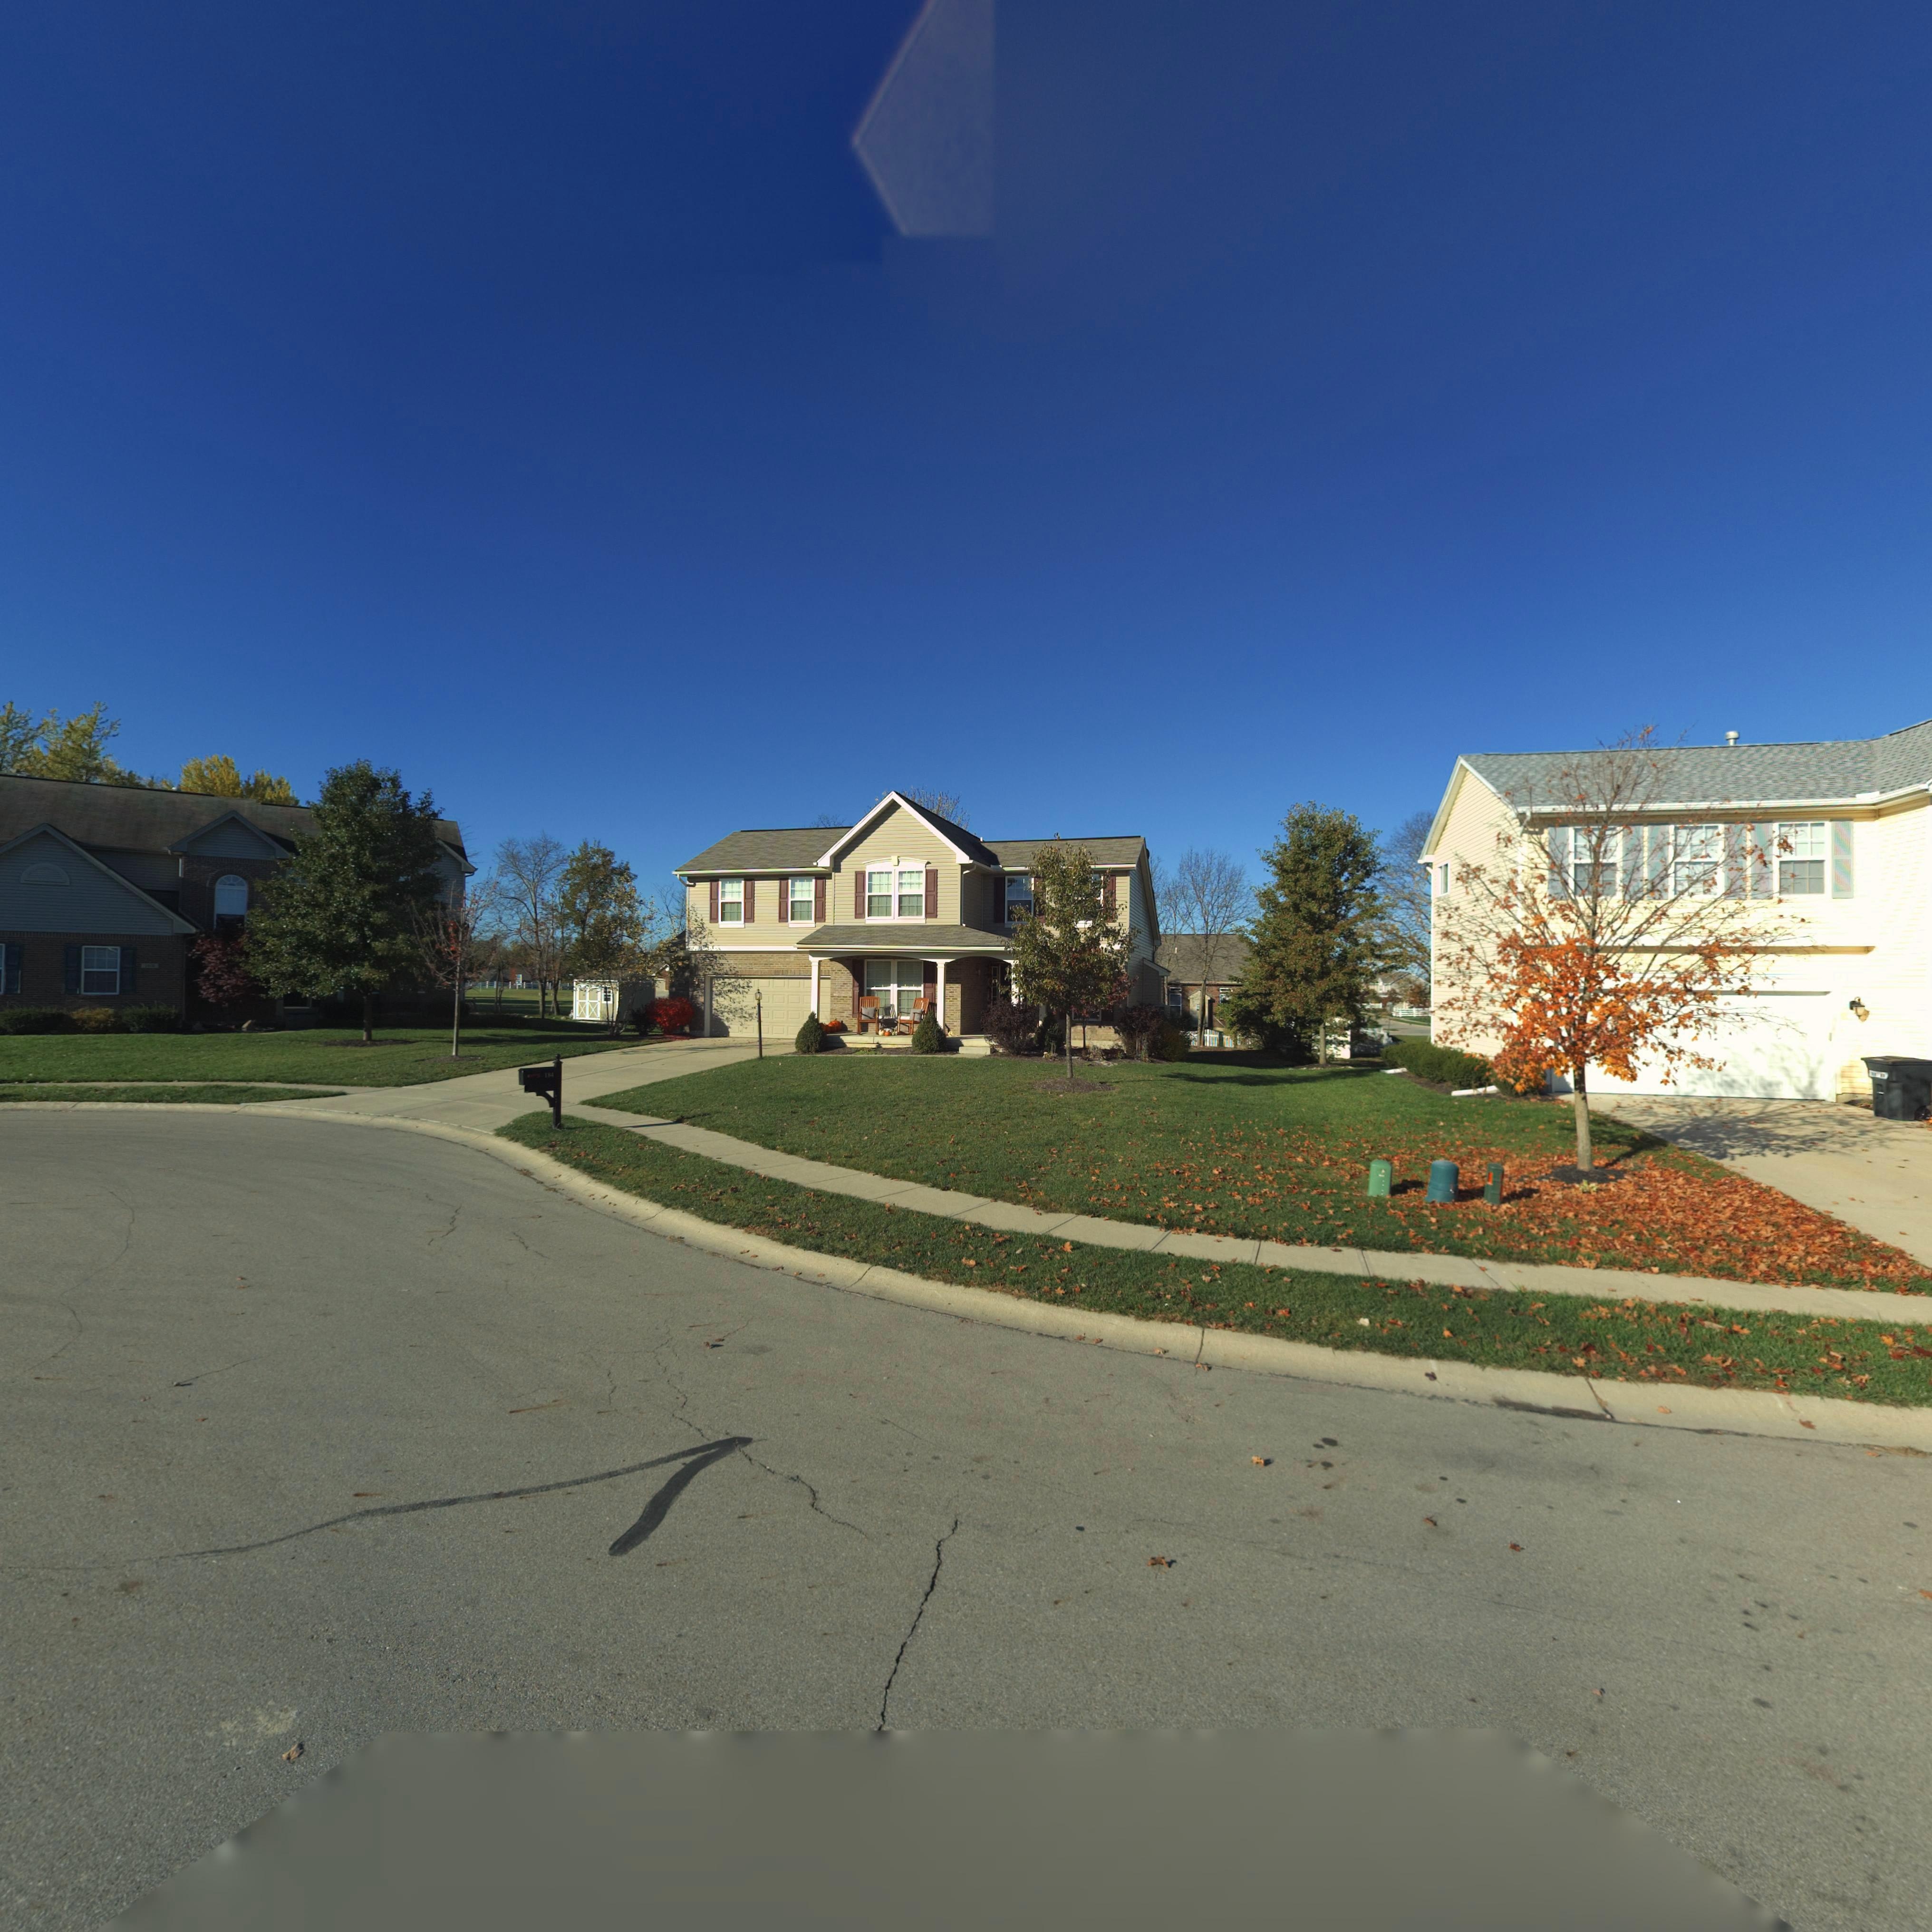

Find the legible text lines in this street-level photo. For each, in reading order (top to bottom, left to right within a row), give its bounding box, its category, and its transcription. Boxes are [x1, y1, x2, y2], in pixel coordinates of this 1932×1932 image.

[544, 1072, 554, 1079] StreetNumber: 1*4